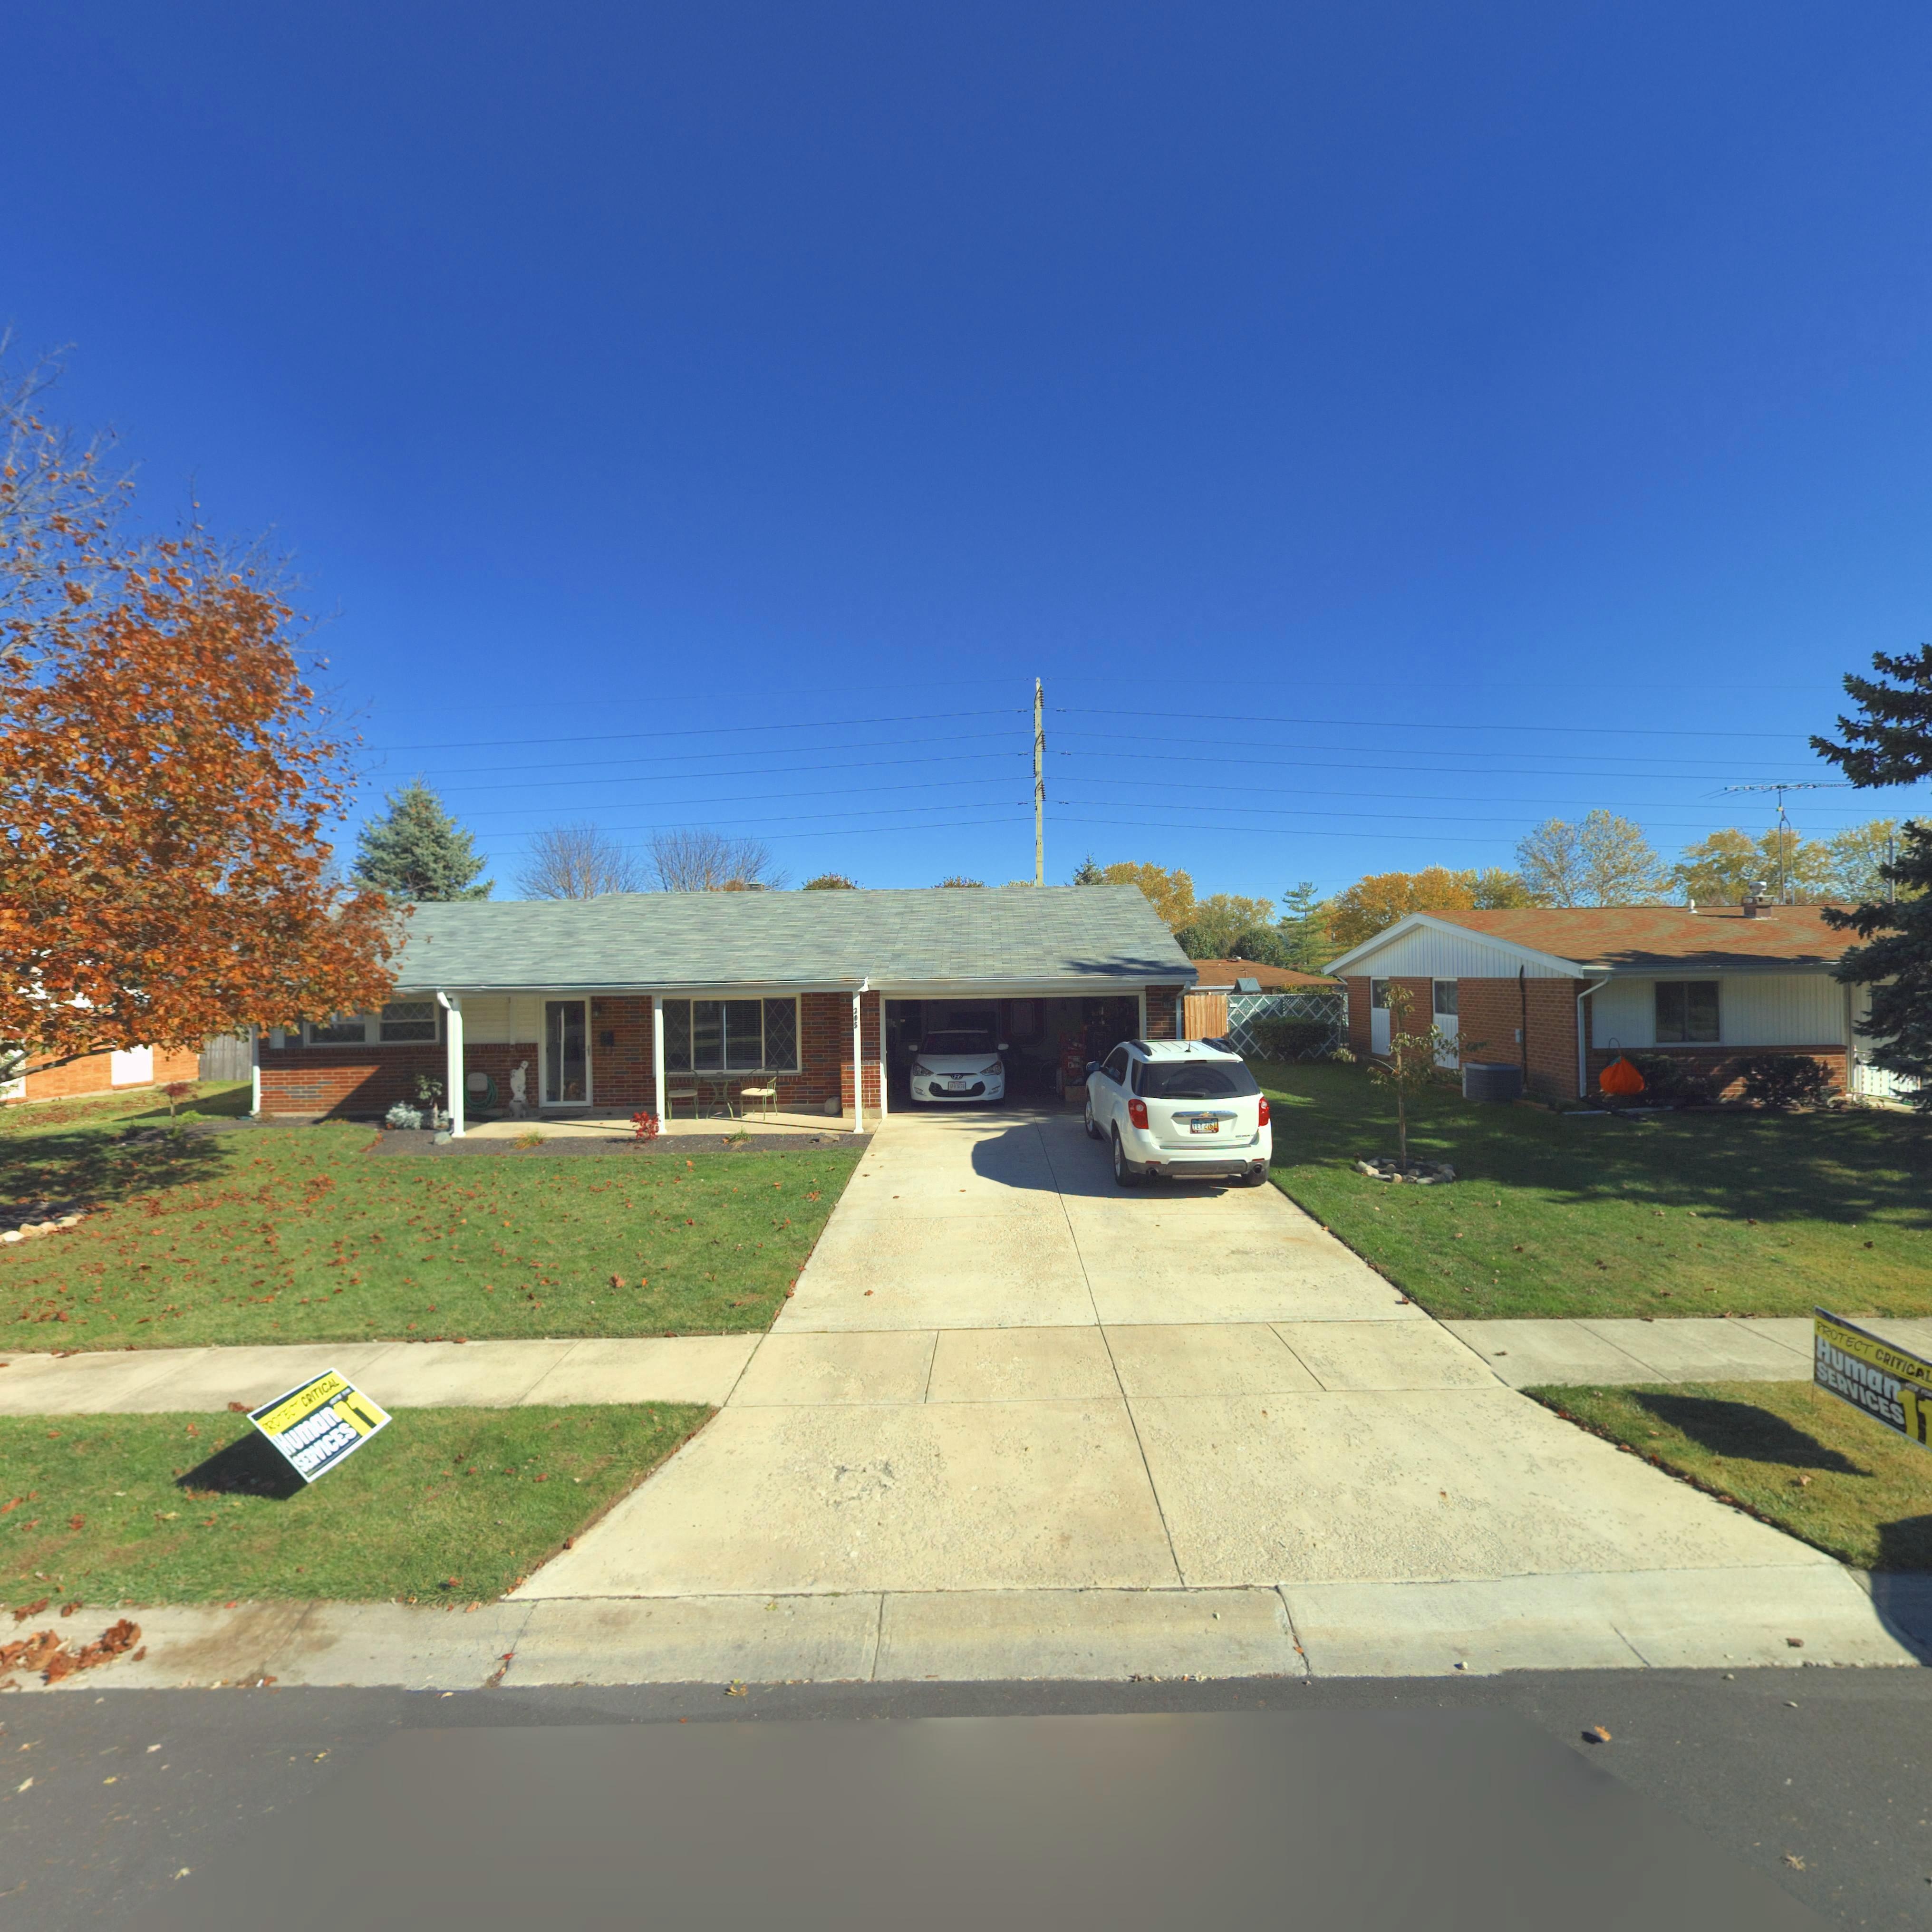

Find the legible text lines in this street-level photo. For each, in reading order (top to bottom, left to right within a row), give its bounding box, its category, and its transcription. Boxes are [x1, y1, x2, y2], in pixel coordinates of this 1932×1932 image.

[853, 1007, 858, 1029] StreetNumber: 305